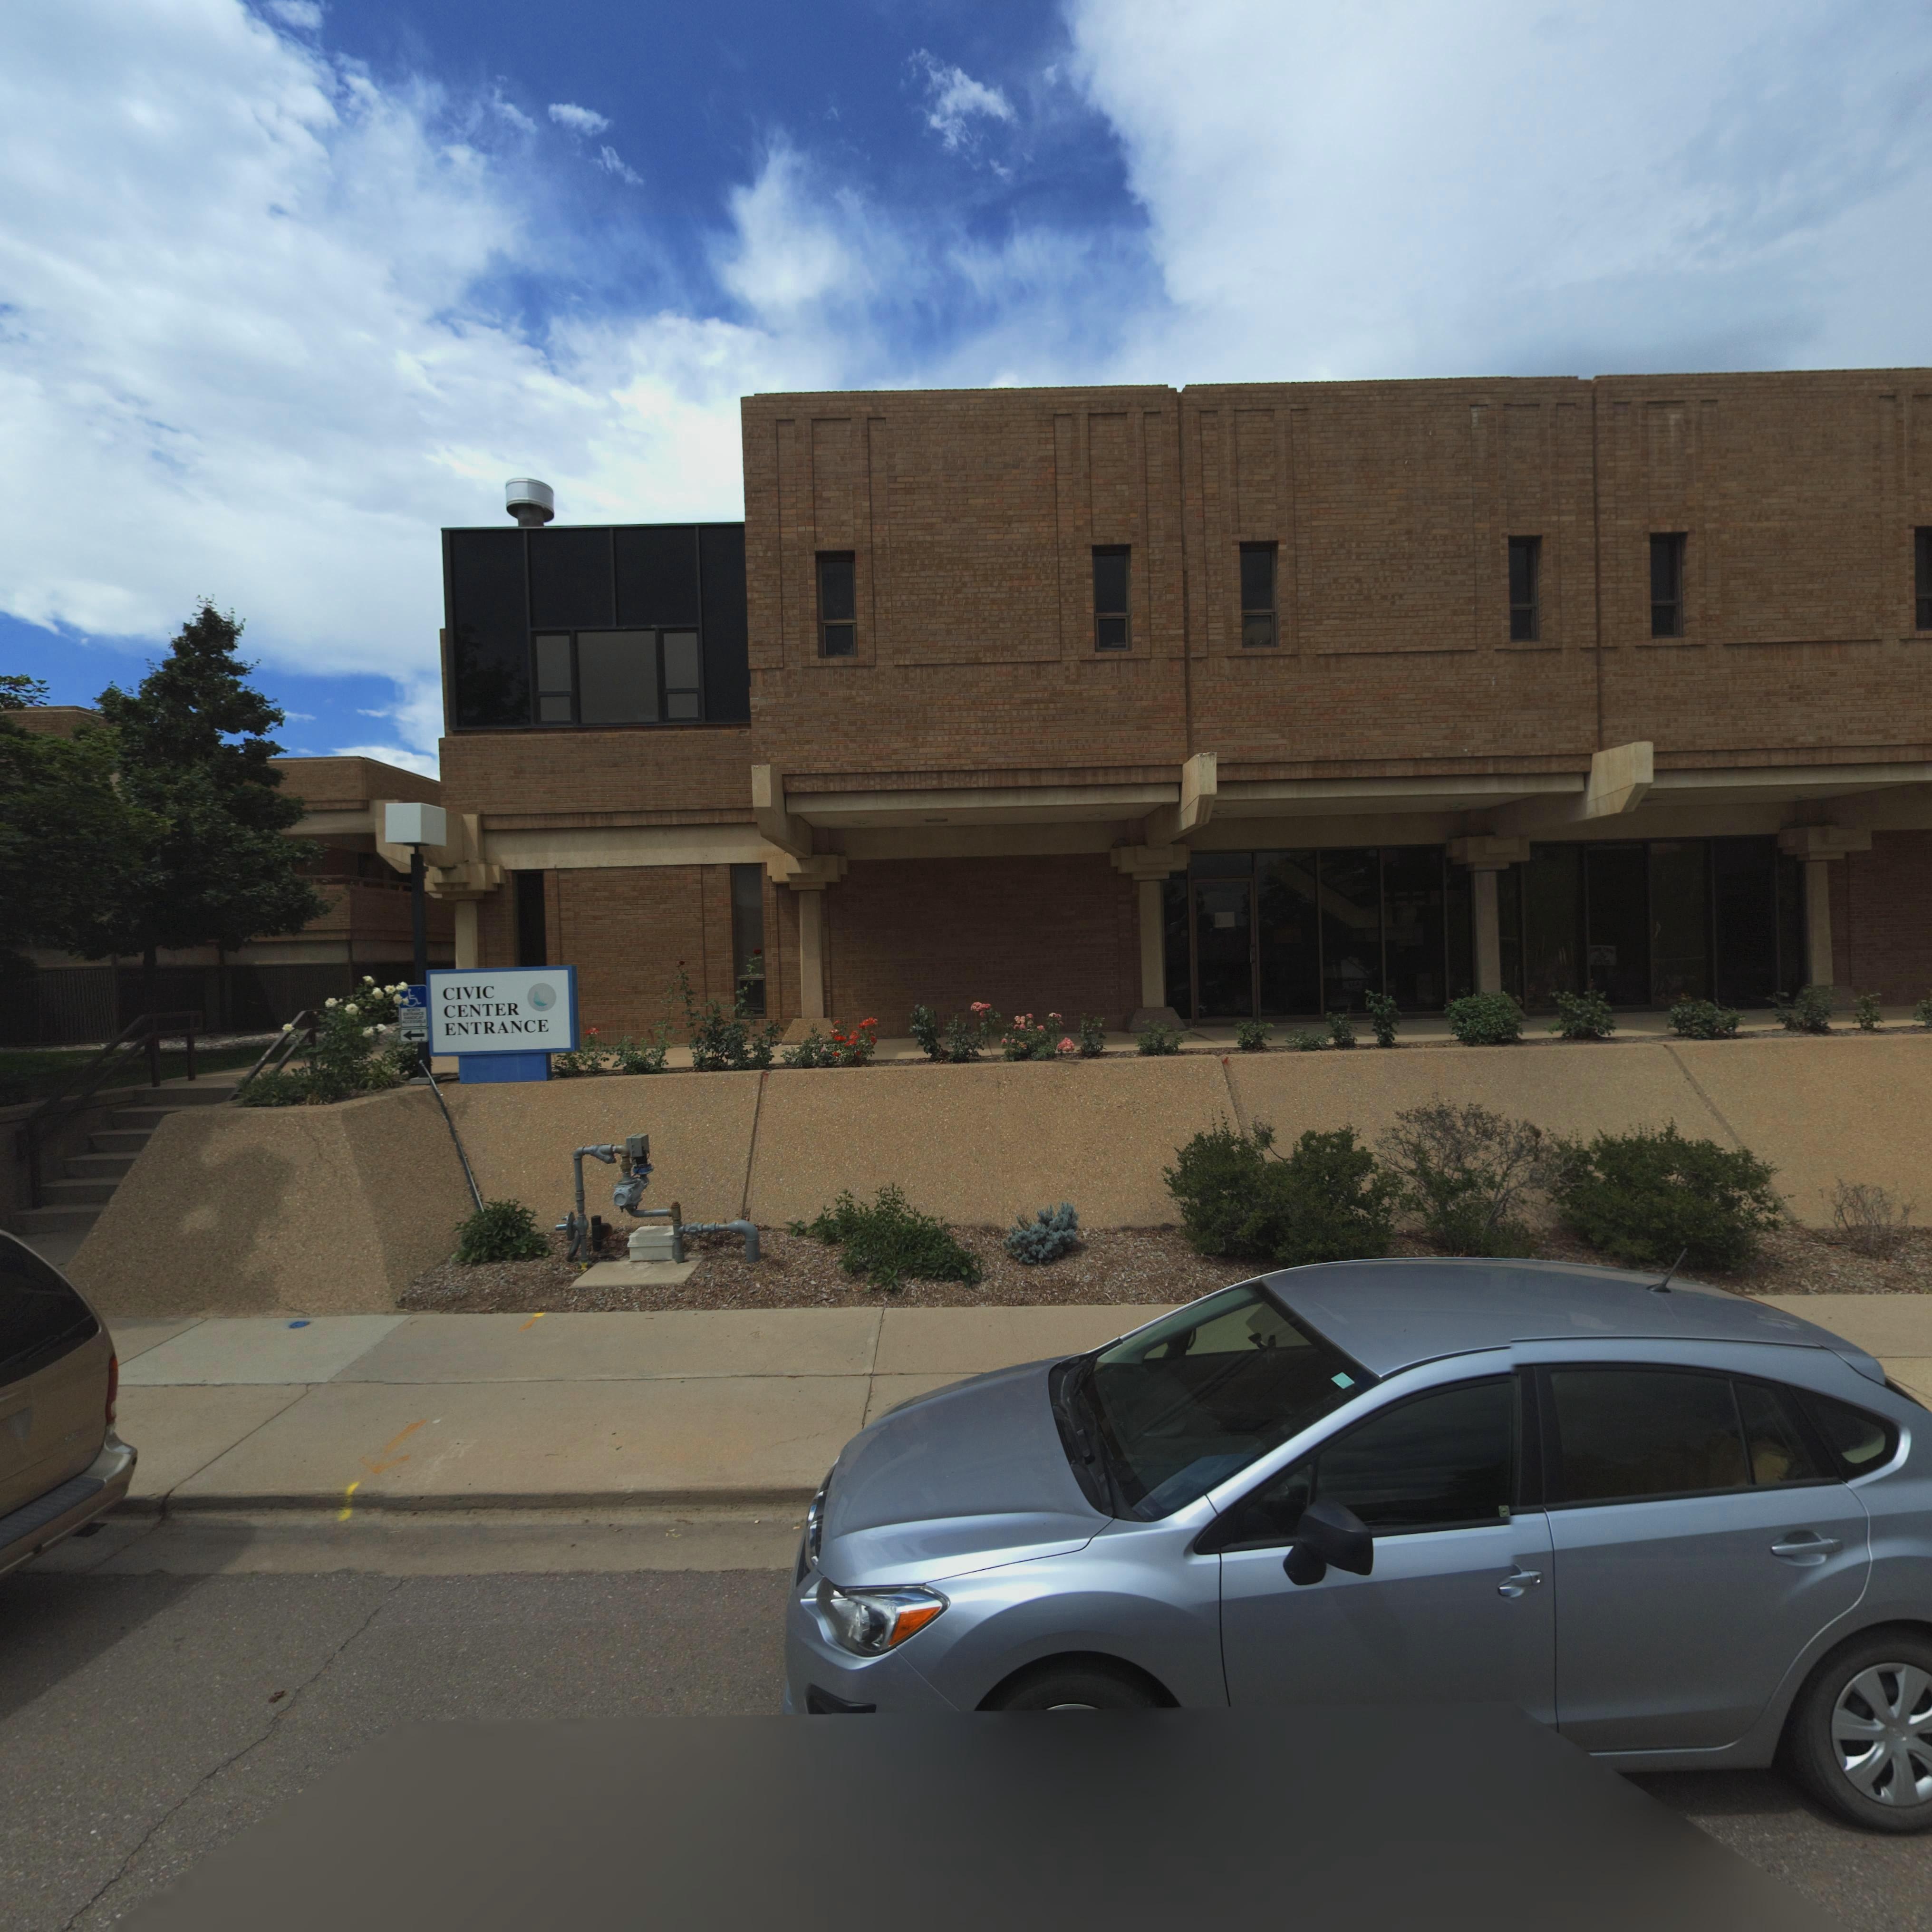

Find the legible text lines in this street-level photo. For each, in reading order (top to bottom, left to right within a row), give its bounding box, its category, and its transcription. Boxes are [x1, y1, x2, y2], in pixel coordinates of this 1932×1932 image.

[443, 985, 495, 1001] BusinessName: CIVIC
[443, 1003, 520, 1018] BusinessName: CENTER